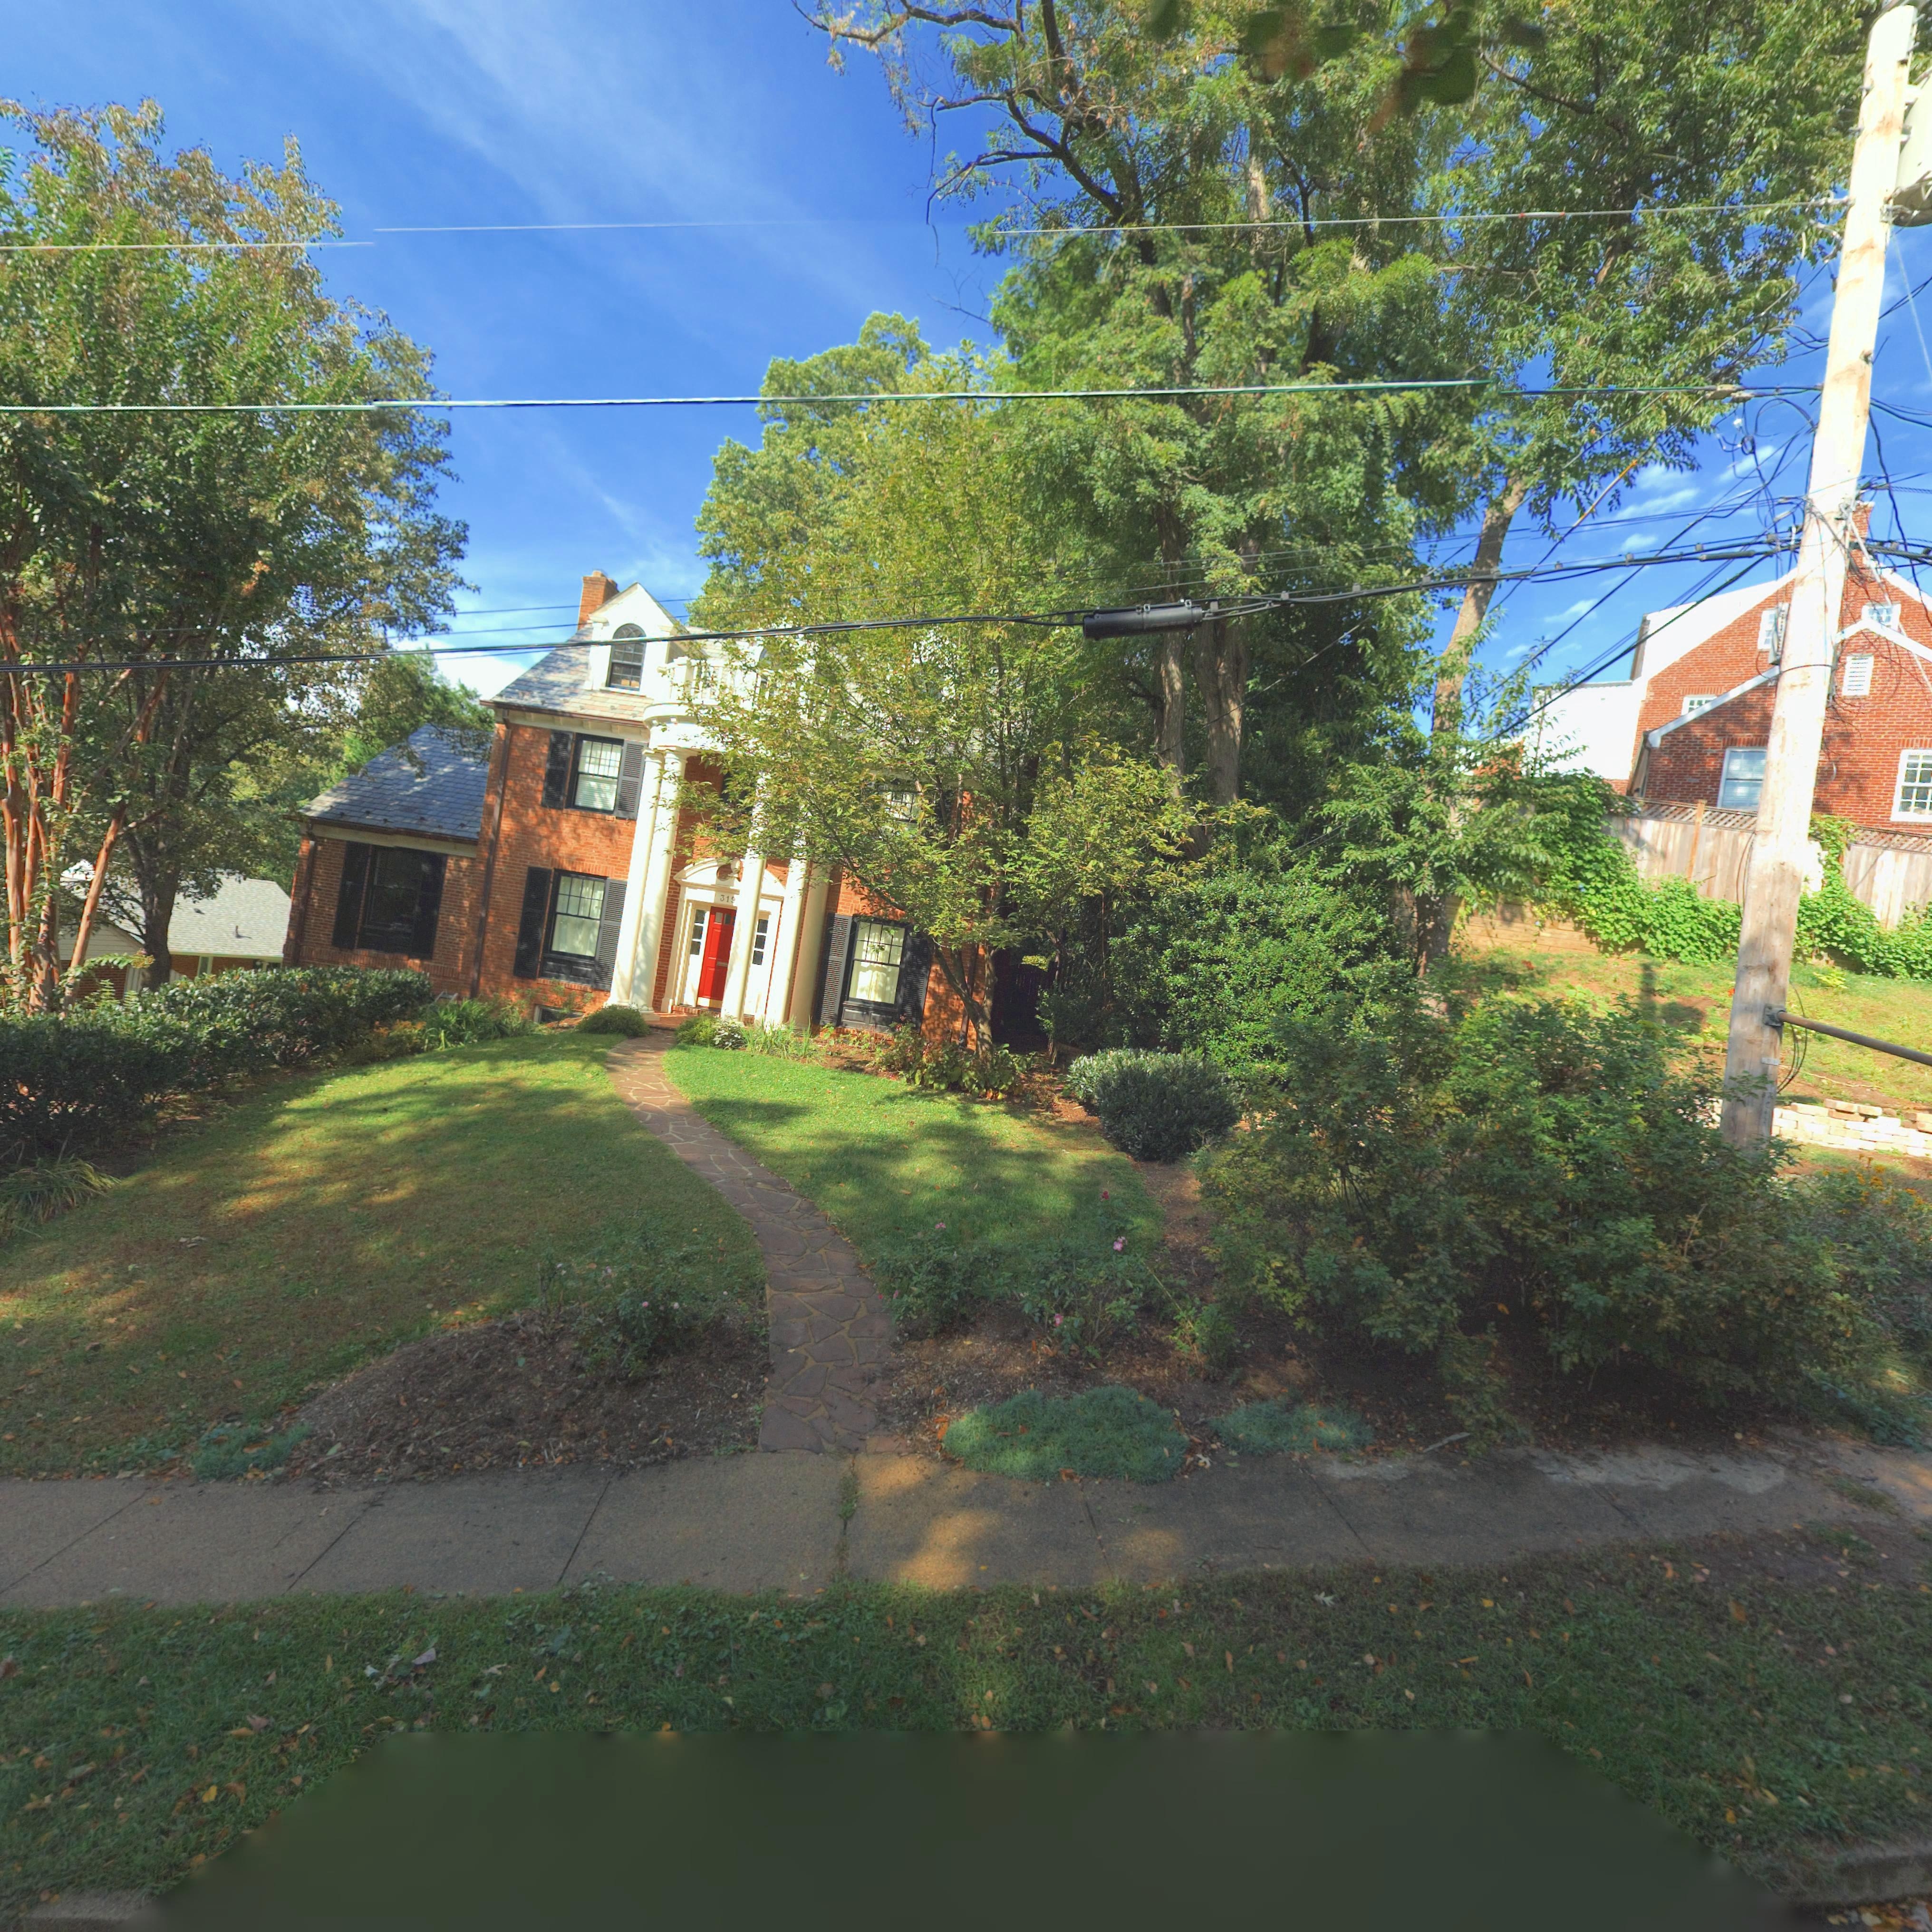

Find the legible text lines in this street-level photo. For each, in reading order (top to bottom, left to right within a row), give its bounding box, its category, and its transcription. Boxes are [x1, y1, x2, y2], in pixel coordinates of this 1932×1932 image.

[718, 893, 737, 905] StreetNumber: 31*